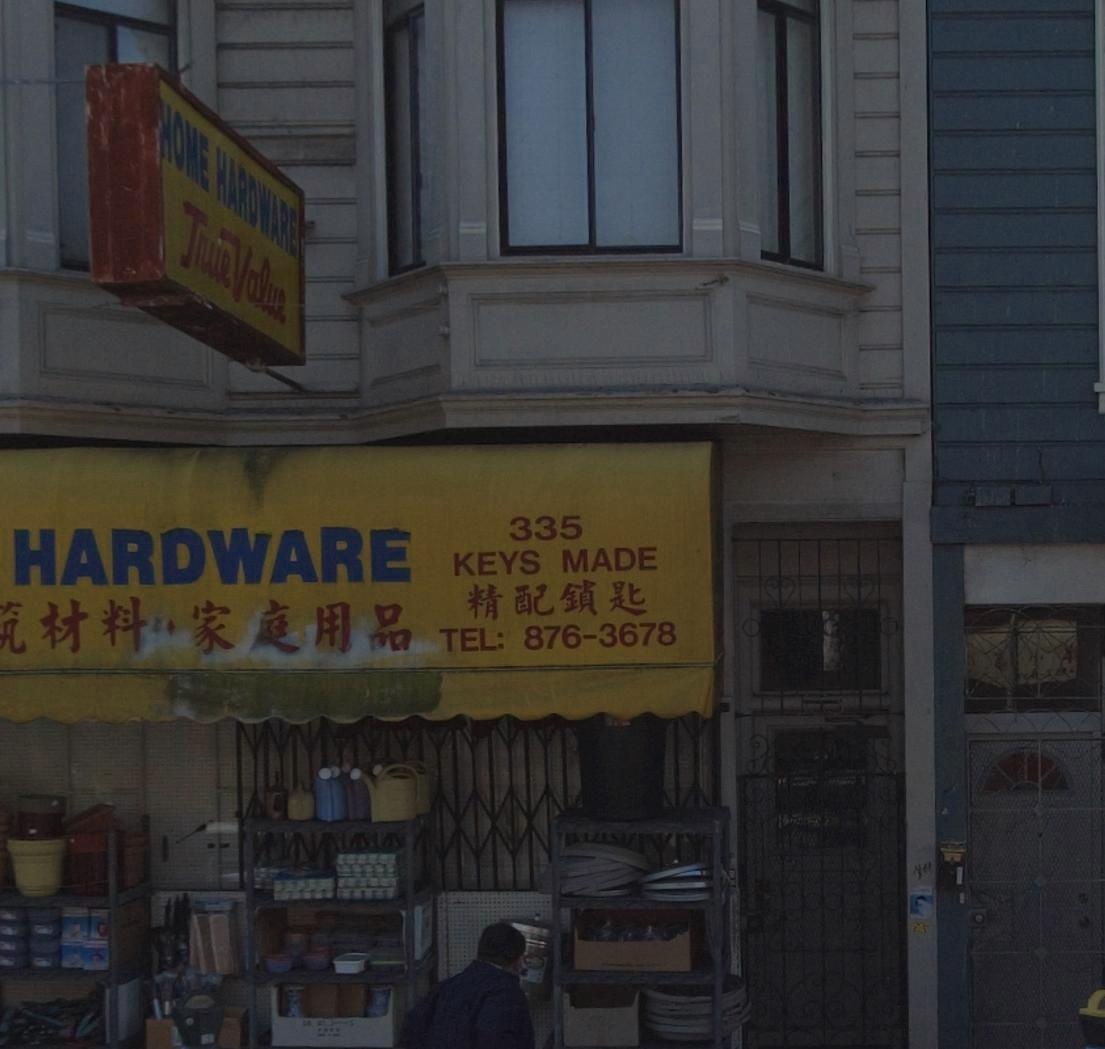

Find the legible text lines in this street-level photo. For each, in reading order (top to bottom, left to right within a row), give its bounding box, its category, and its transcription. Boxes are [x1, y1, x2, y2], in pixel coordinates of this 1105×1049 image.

[159, 93, 298, 262] BusinessName: HOME HARDWARE
[175, 198, 290, 329] BusinessName: TrueValue
[10, 523, 413, 588] BusinessName: HARDWARE
[508, 512, 584, 542] StreetNumber: 335
[452, 543, 660, 579] None: KEYS MADE
[437, 617, 679, 655] None: TEL: 876-3678